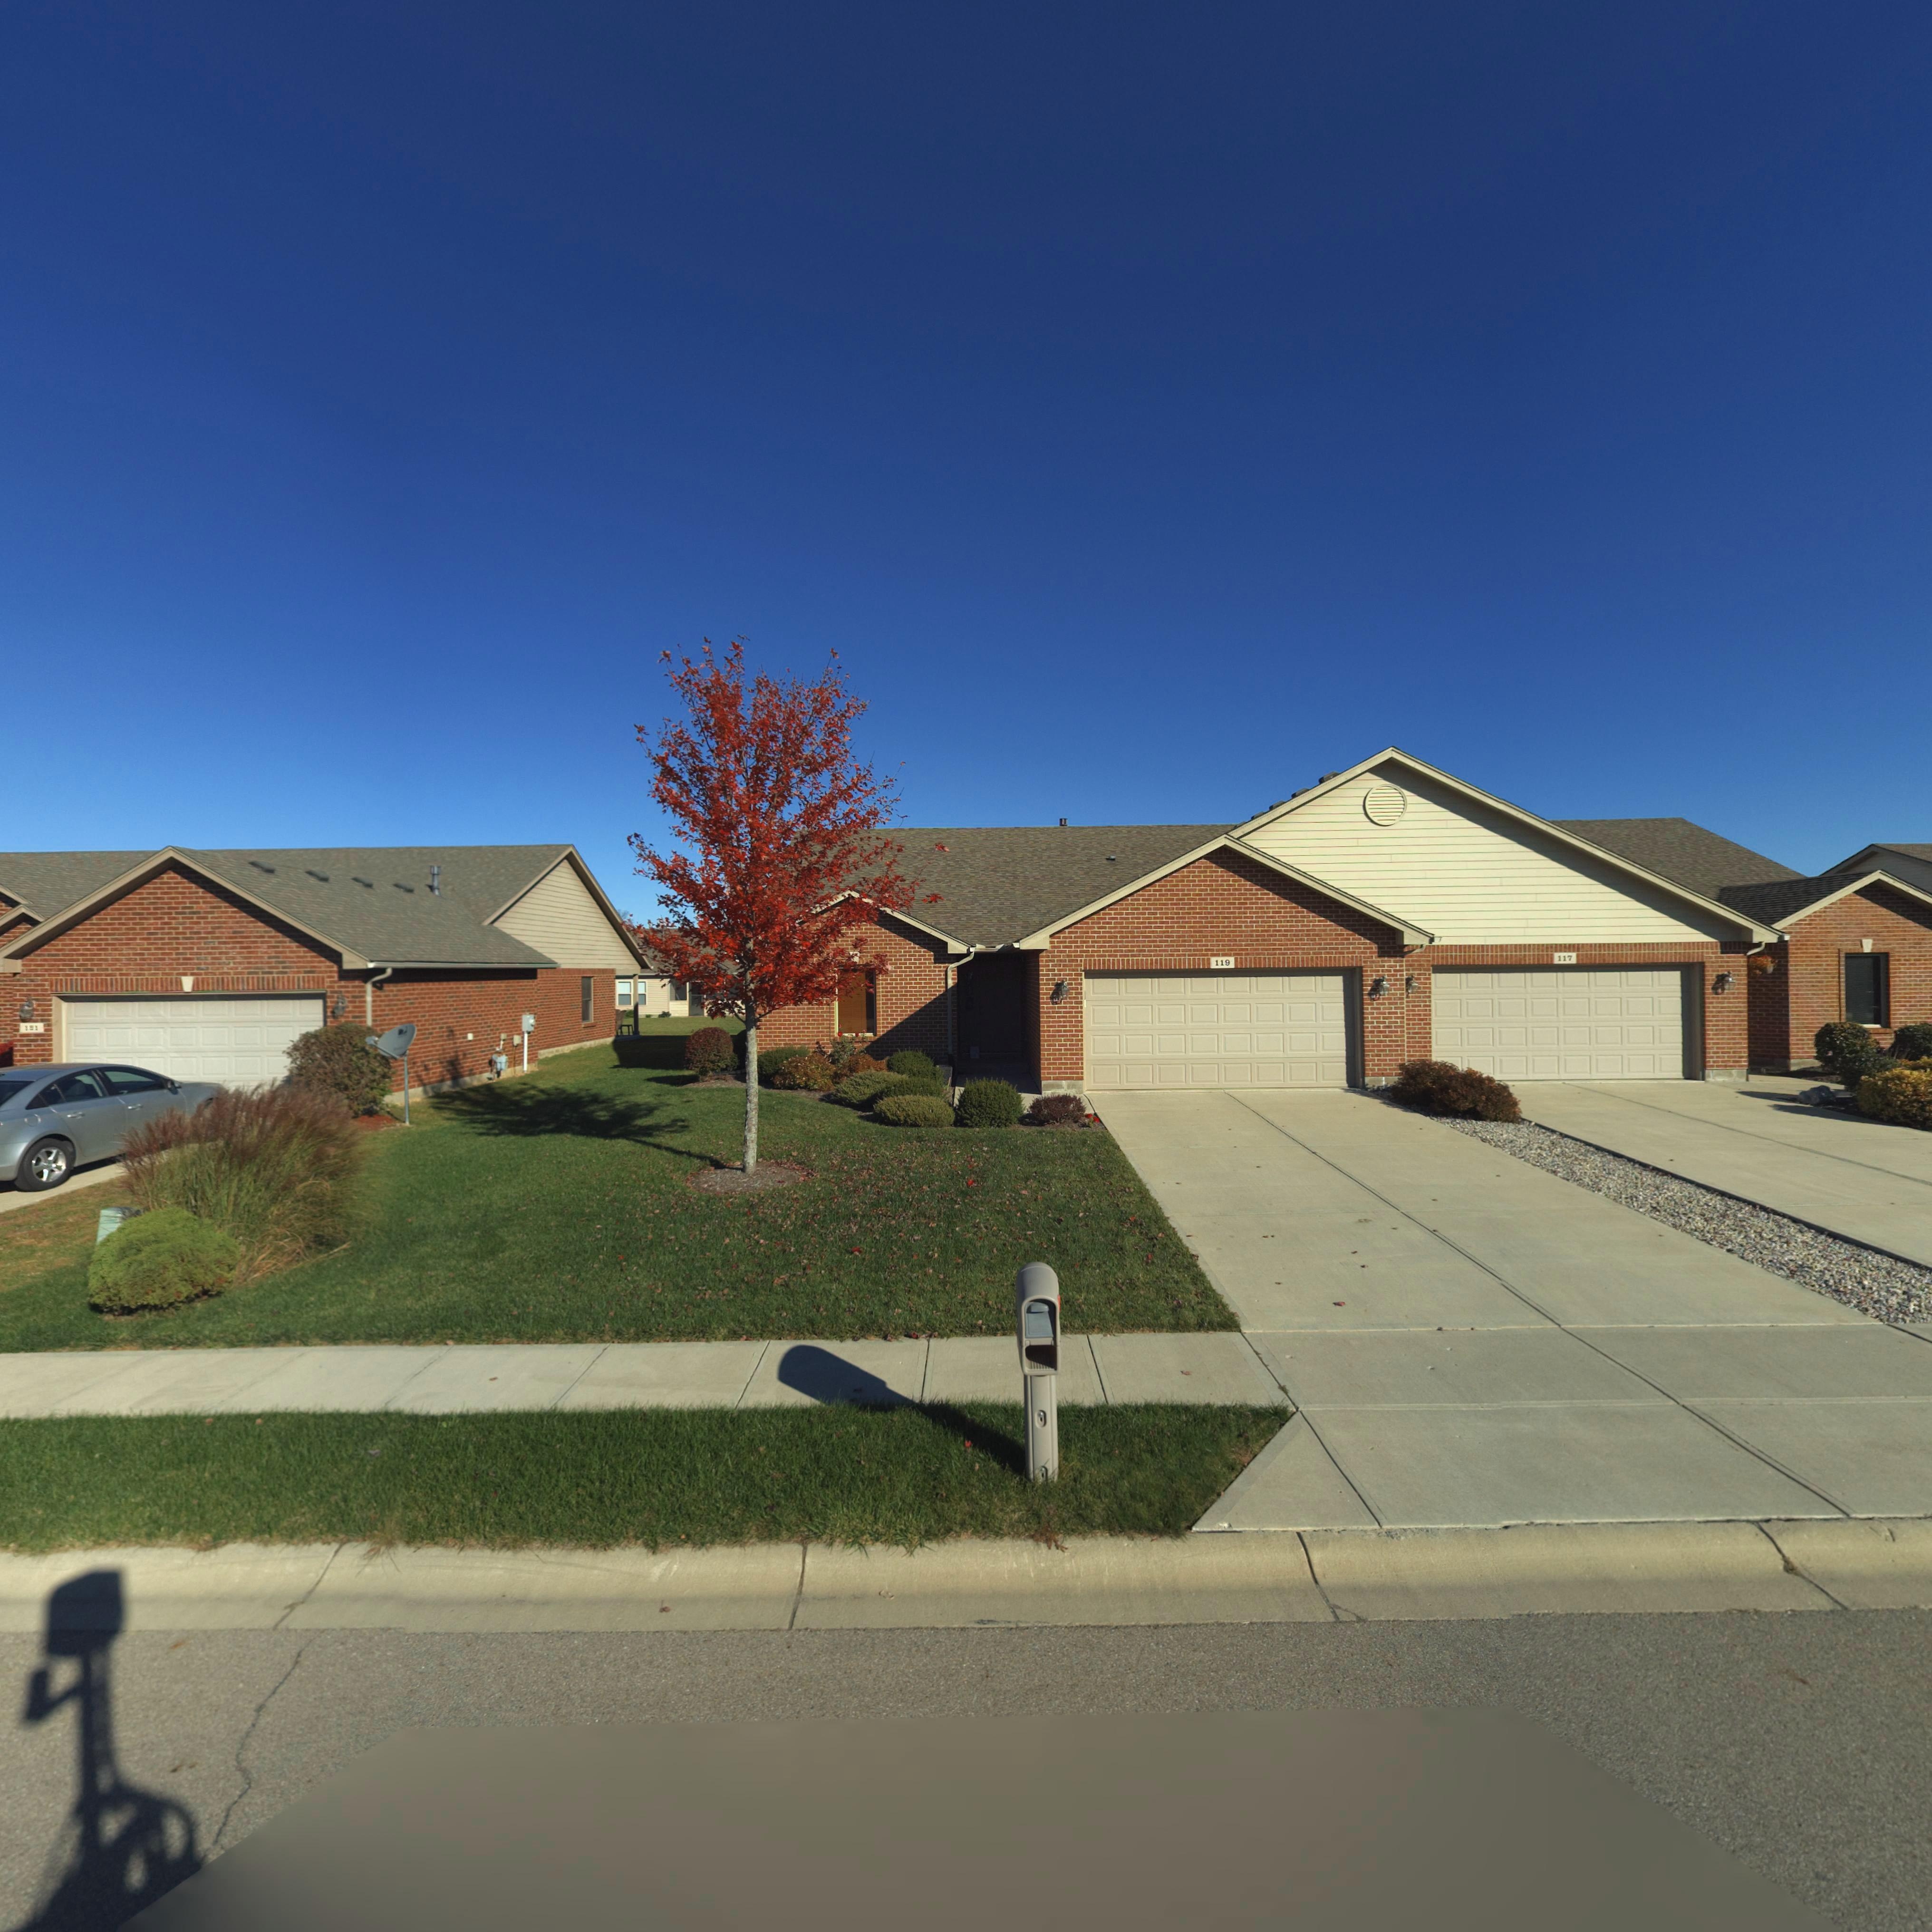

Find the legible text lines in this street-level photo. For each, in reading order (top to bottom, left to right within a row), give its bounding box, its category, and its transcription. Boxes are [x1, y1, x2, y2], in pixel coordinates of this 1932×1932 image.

[1557, 954, 1573, 962] StreetNumber: 117
[1214, 958, 1231, 966] StreetNumber: 119
[24, 1024, 39, 1031] StreetNumber: 121